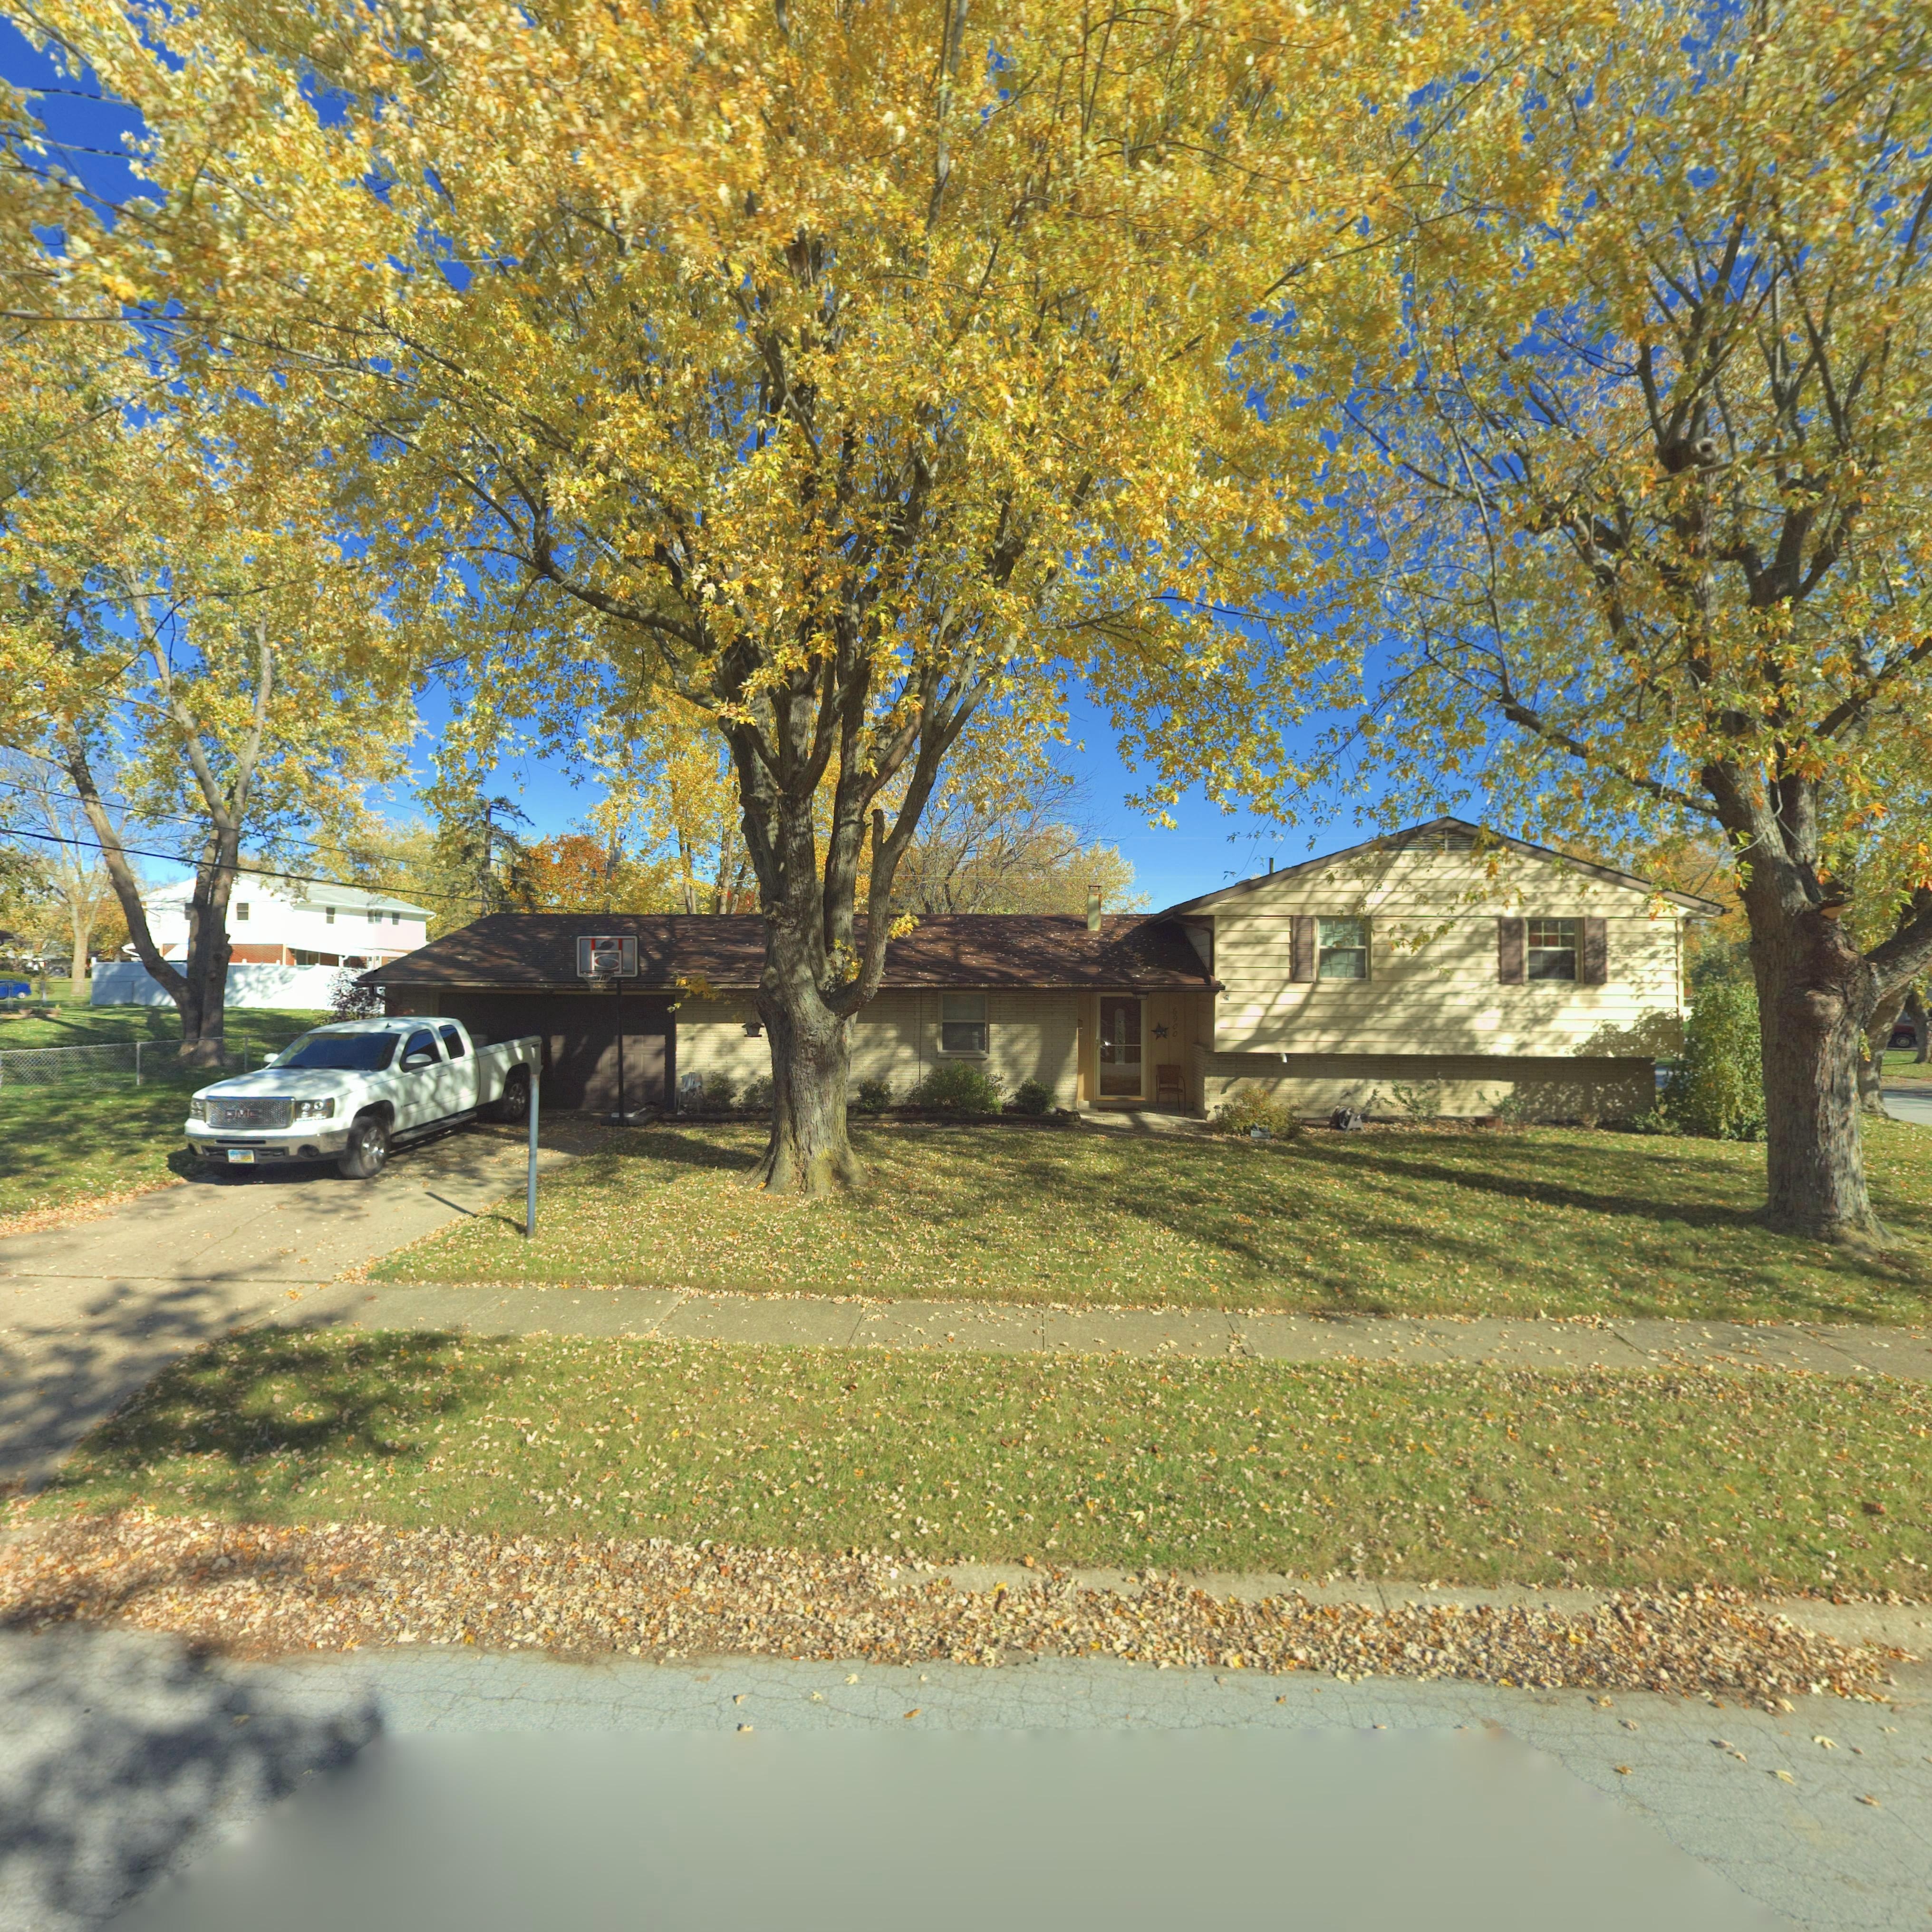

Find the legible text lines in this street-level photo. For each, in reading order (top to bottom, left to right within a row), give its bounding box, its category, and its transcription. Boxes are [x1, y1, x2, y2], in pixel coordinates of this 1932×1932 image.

[1171, 1005, 1179, 1039] StreetNumber: 6900